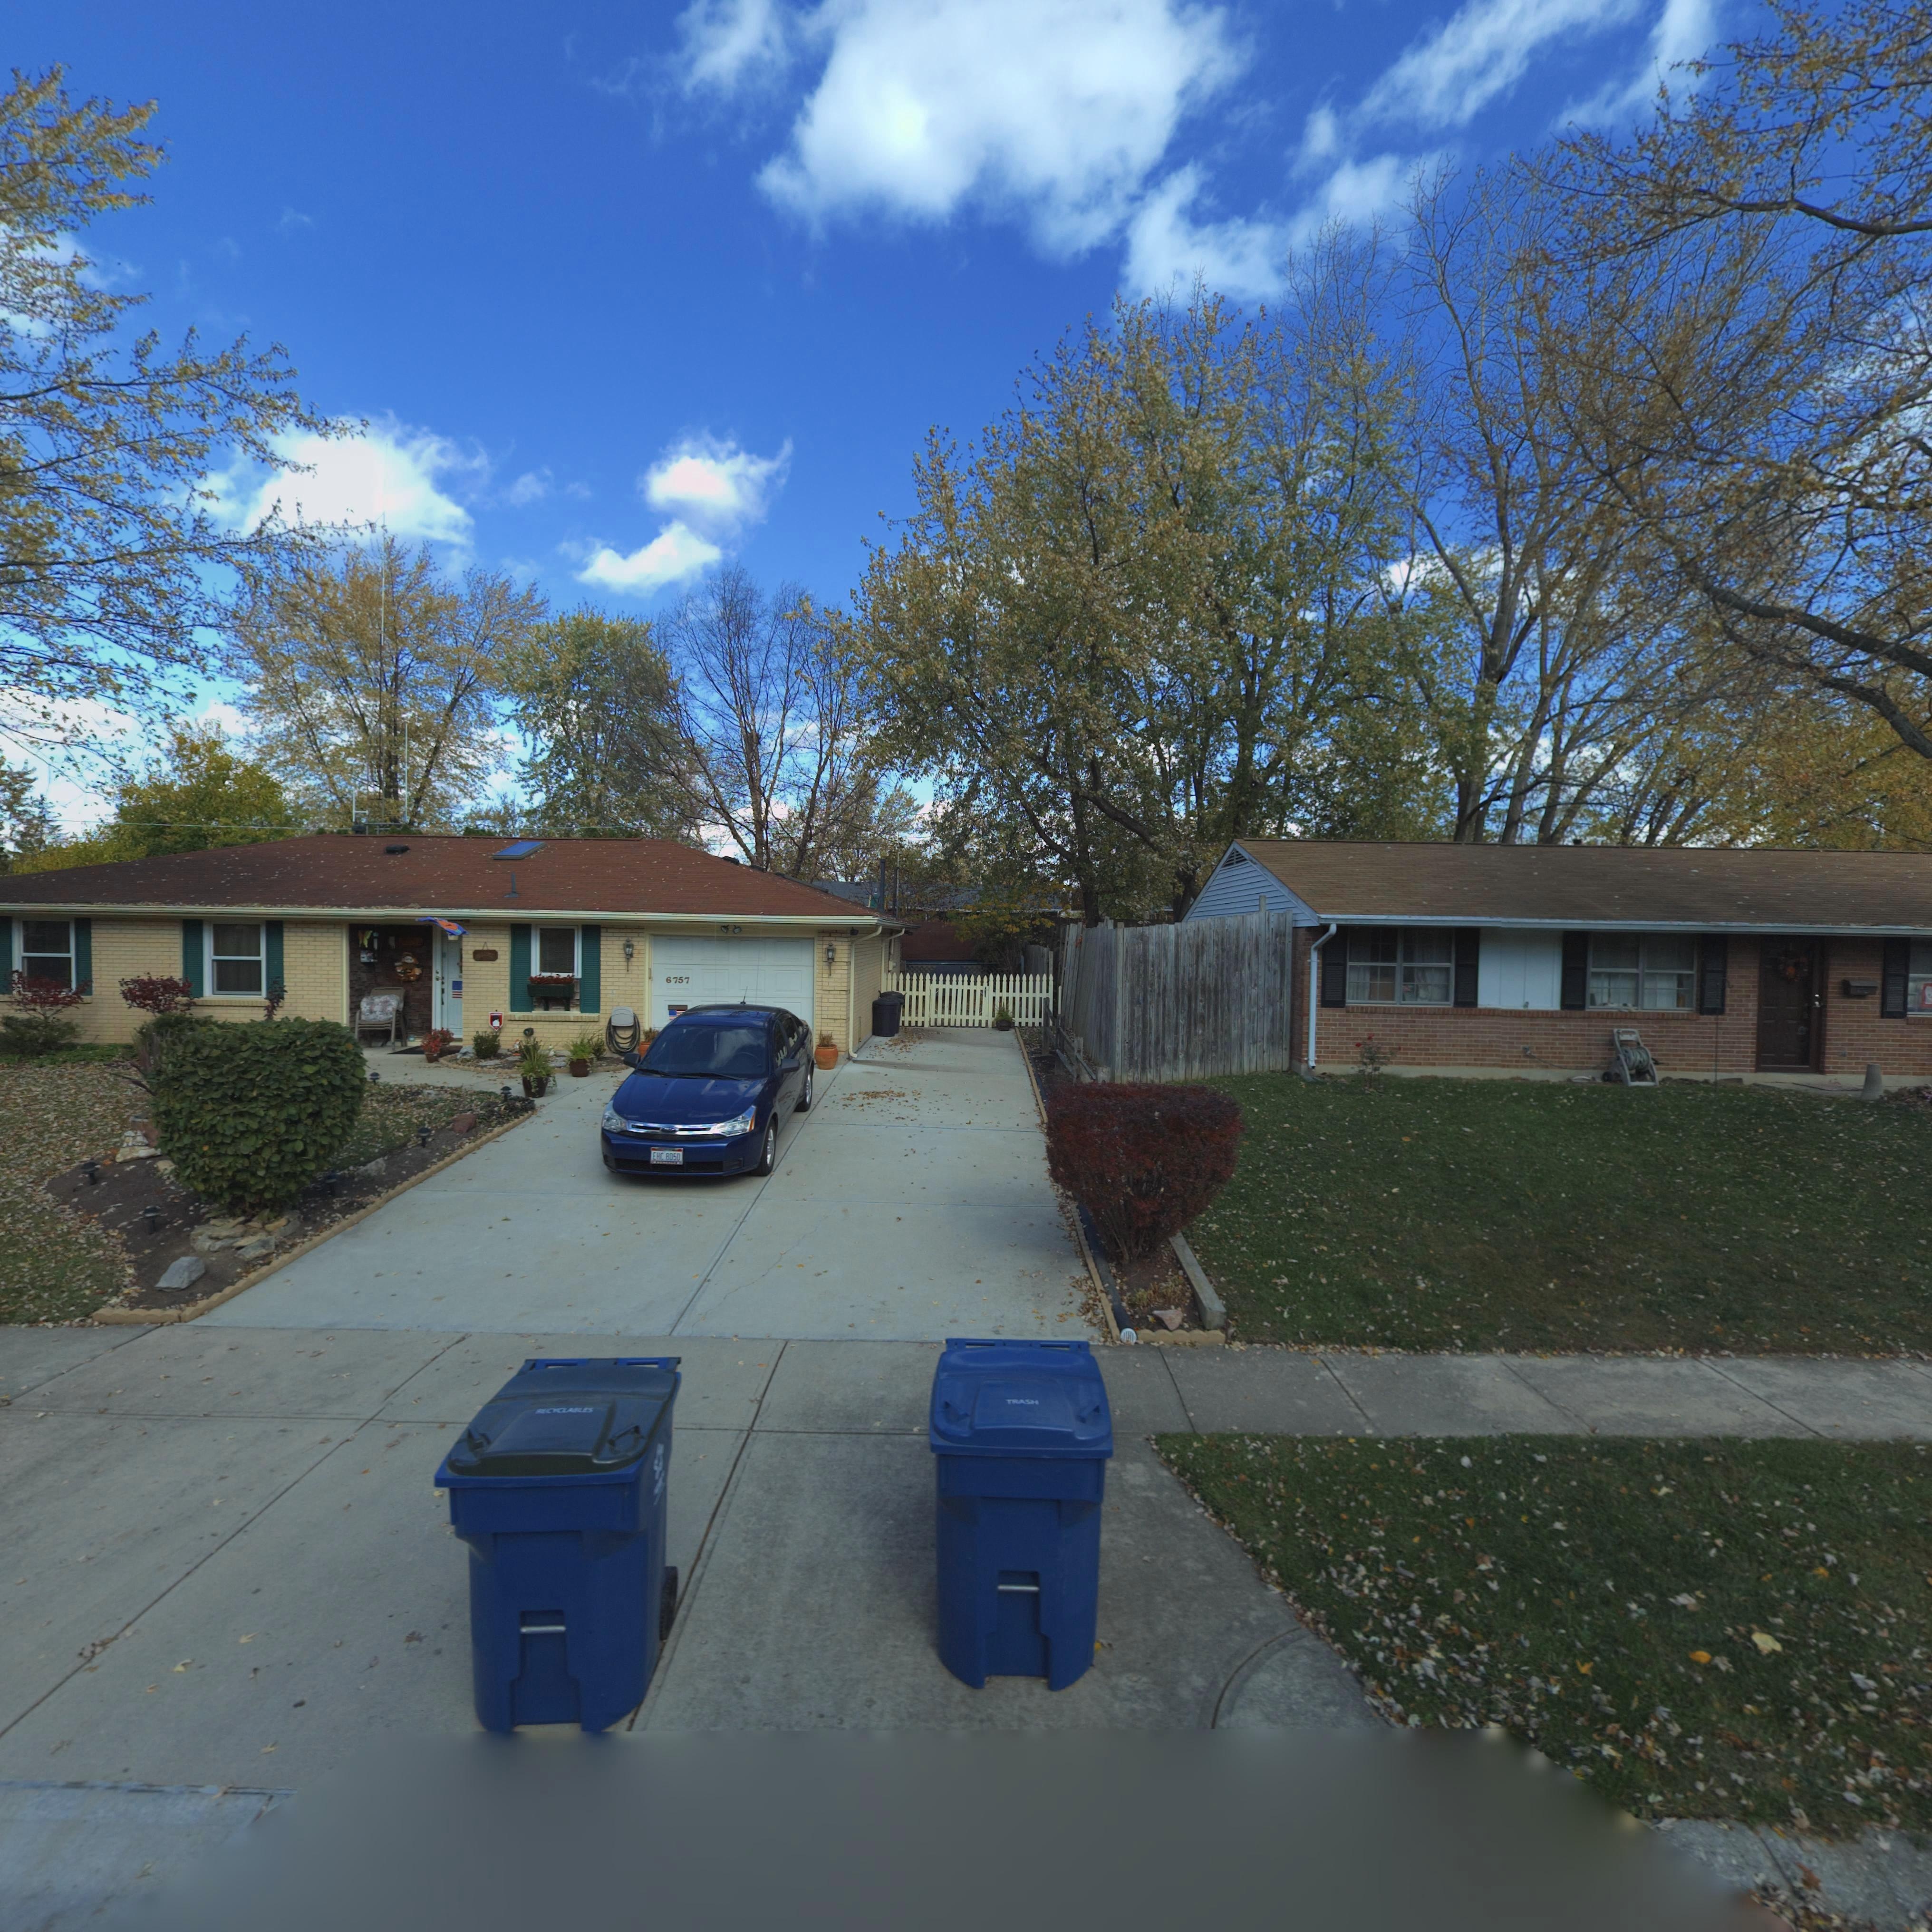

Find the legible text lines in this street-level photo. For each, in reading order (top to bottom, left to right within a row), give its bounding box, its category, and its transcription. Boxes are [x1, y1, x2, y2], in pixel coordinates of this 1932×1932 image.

[665, 976, 690, 984] StreetNumber: 6757